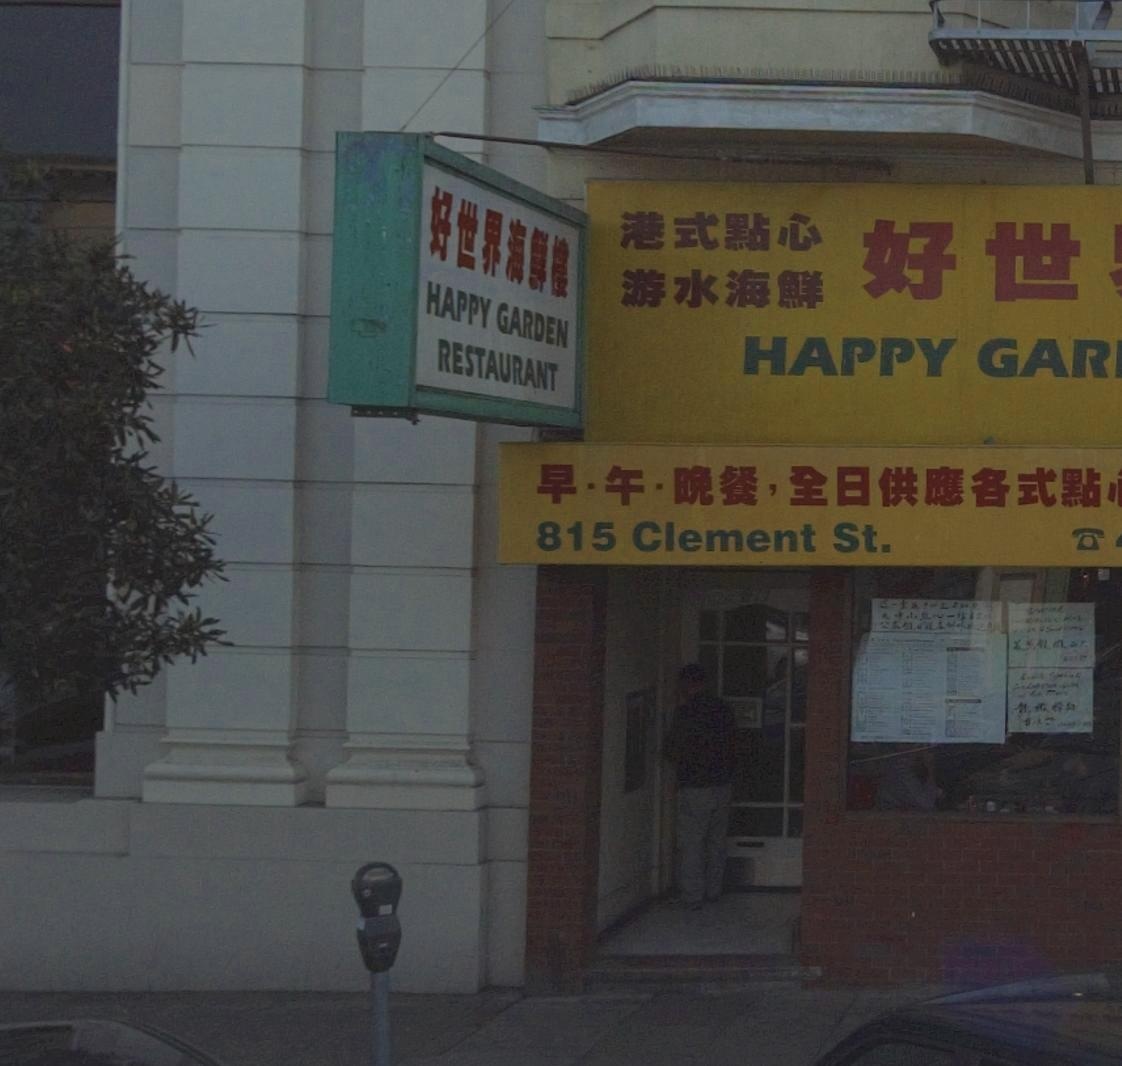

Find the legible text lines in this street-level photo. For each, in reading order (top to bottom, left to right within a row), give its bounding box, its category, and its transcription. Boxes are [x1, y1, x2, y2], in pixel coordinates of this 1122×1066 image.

[424, 279, 570, 351] BusinessName: HAPPY GARDEN
[436, 336, 558, 393] BusinessName: RESTAURANT
[741, 333, 1112, 380] BusinessName: HAPPY GAR
[536, 520, 617, 553] StreetNumber: 815
[632, 519, 892, 554] StreetName: Clement St.